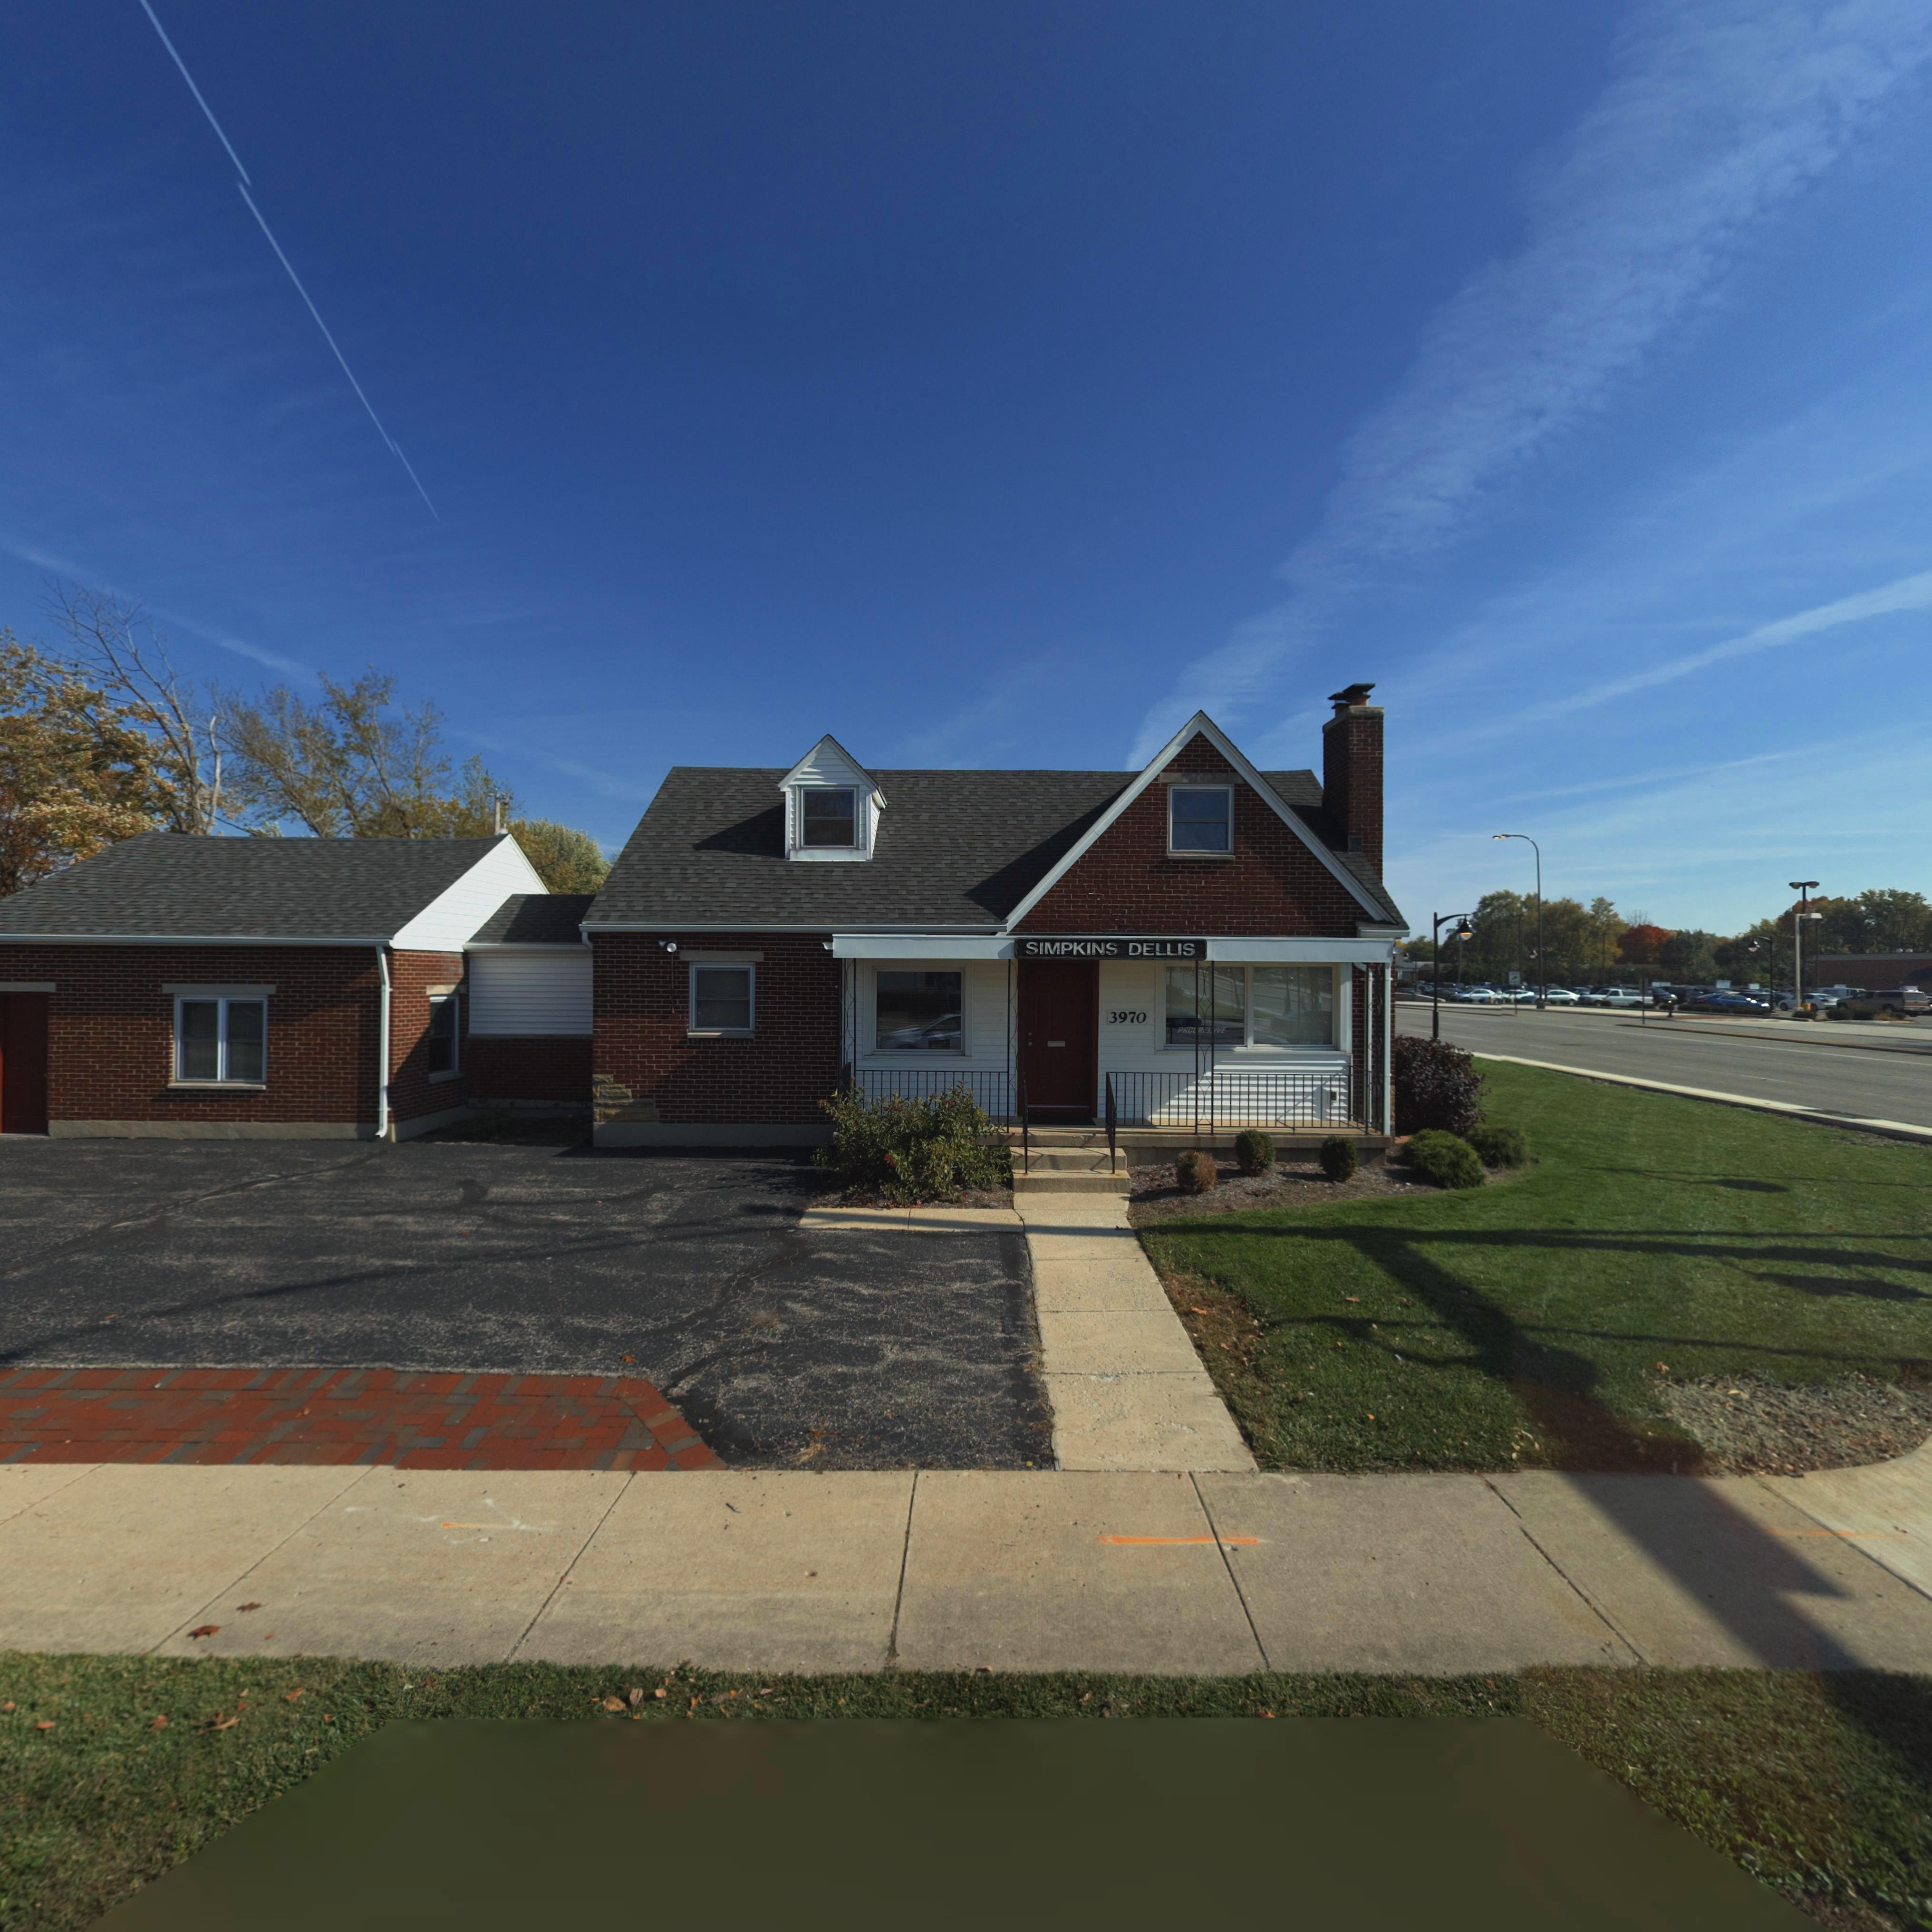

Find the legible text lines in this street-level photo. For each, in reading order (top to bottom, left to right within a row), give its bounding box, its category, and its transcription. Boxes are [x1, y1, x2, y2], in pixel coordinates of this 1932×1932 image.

[1025, 941, 1196, 956] None: SIMPKINS DELLIS
[1108, 1011, 1147, 1024] StreetNumber: 3970
[1176, 1026, 1227, 1034] None: PRO*R*S*IVE